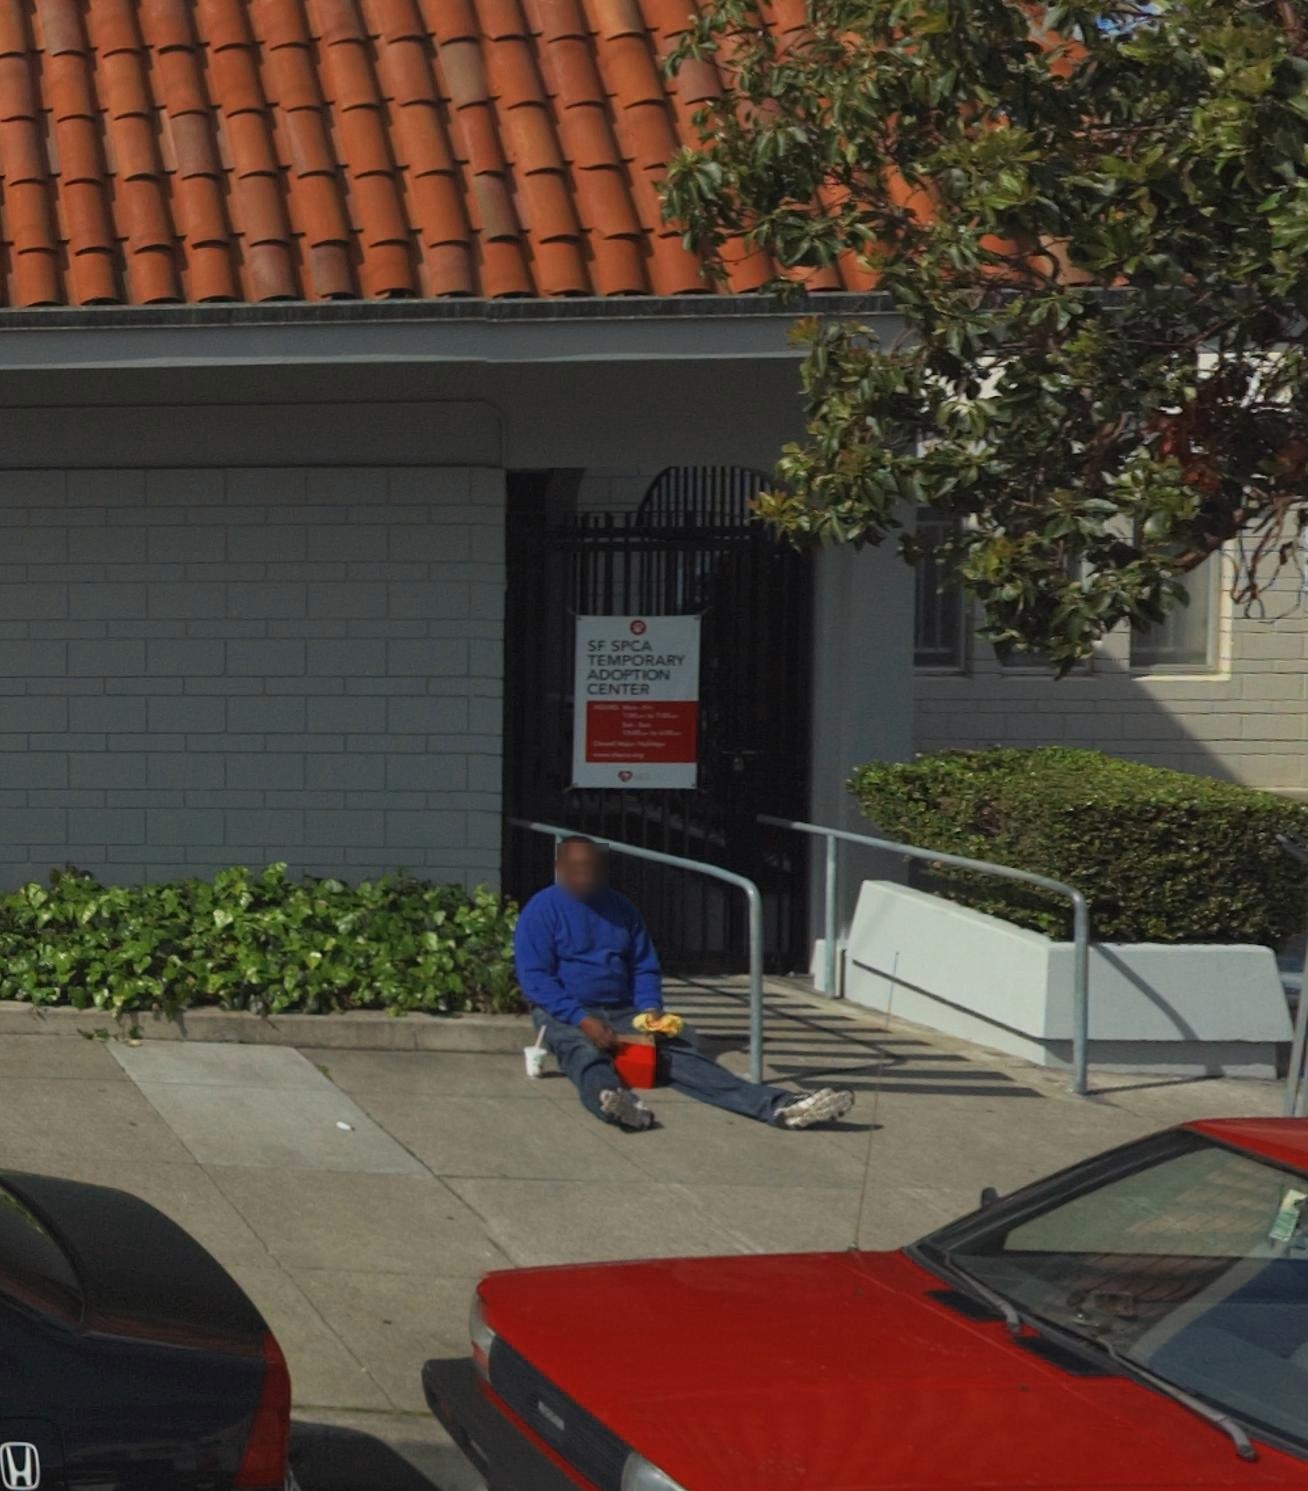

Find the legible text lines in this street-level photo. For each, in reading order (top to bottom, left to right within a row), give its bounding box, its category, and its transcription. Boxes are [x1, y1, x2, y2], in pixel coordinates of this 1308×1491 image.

[585, 637, 656, 655] None: SF SPCA
[583, 650, 688, 669] None: TEMPORARY
[583, 666, 675, 683] None: ADOPTION
[584, 681, 653, 698] None: CENTER